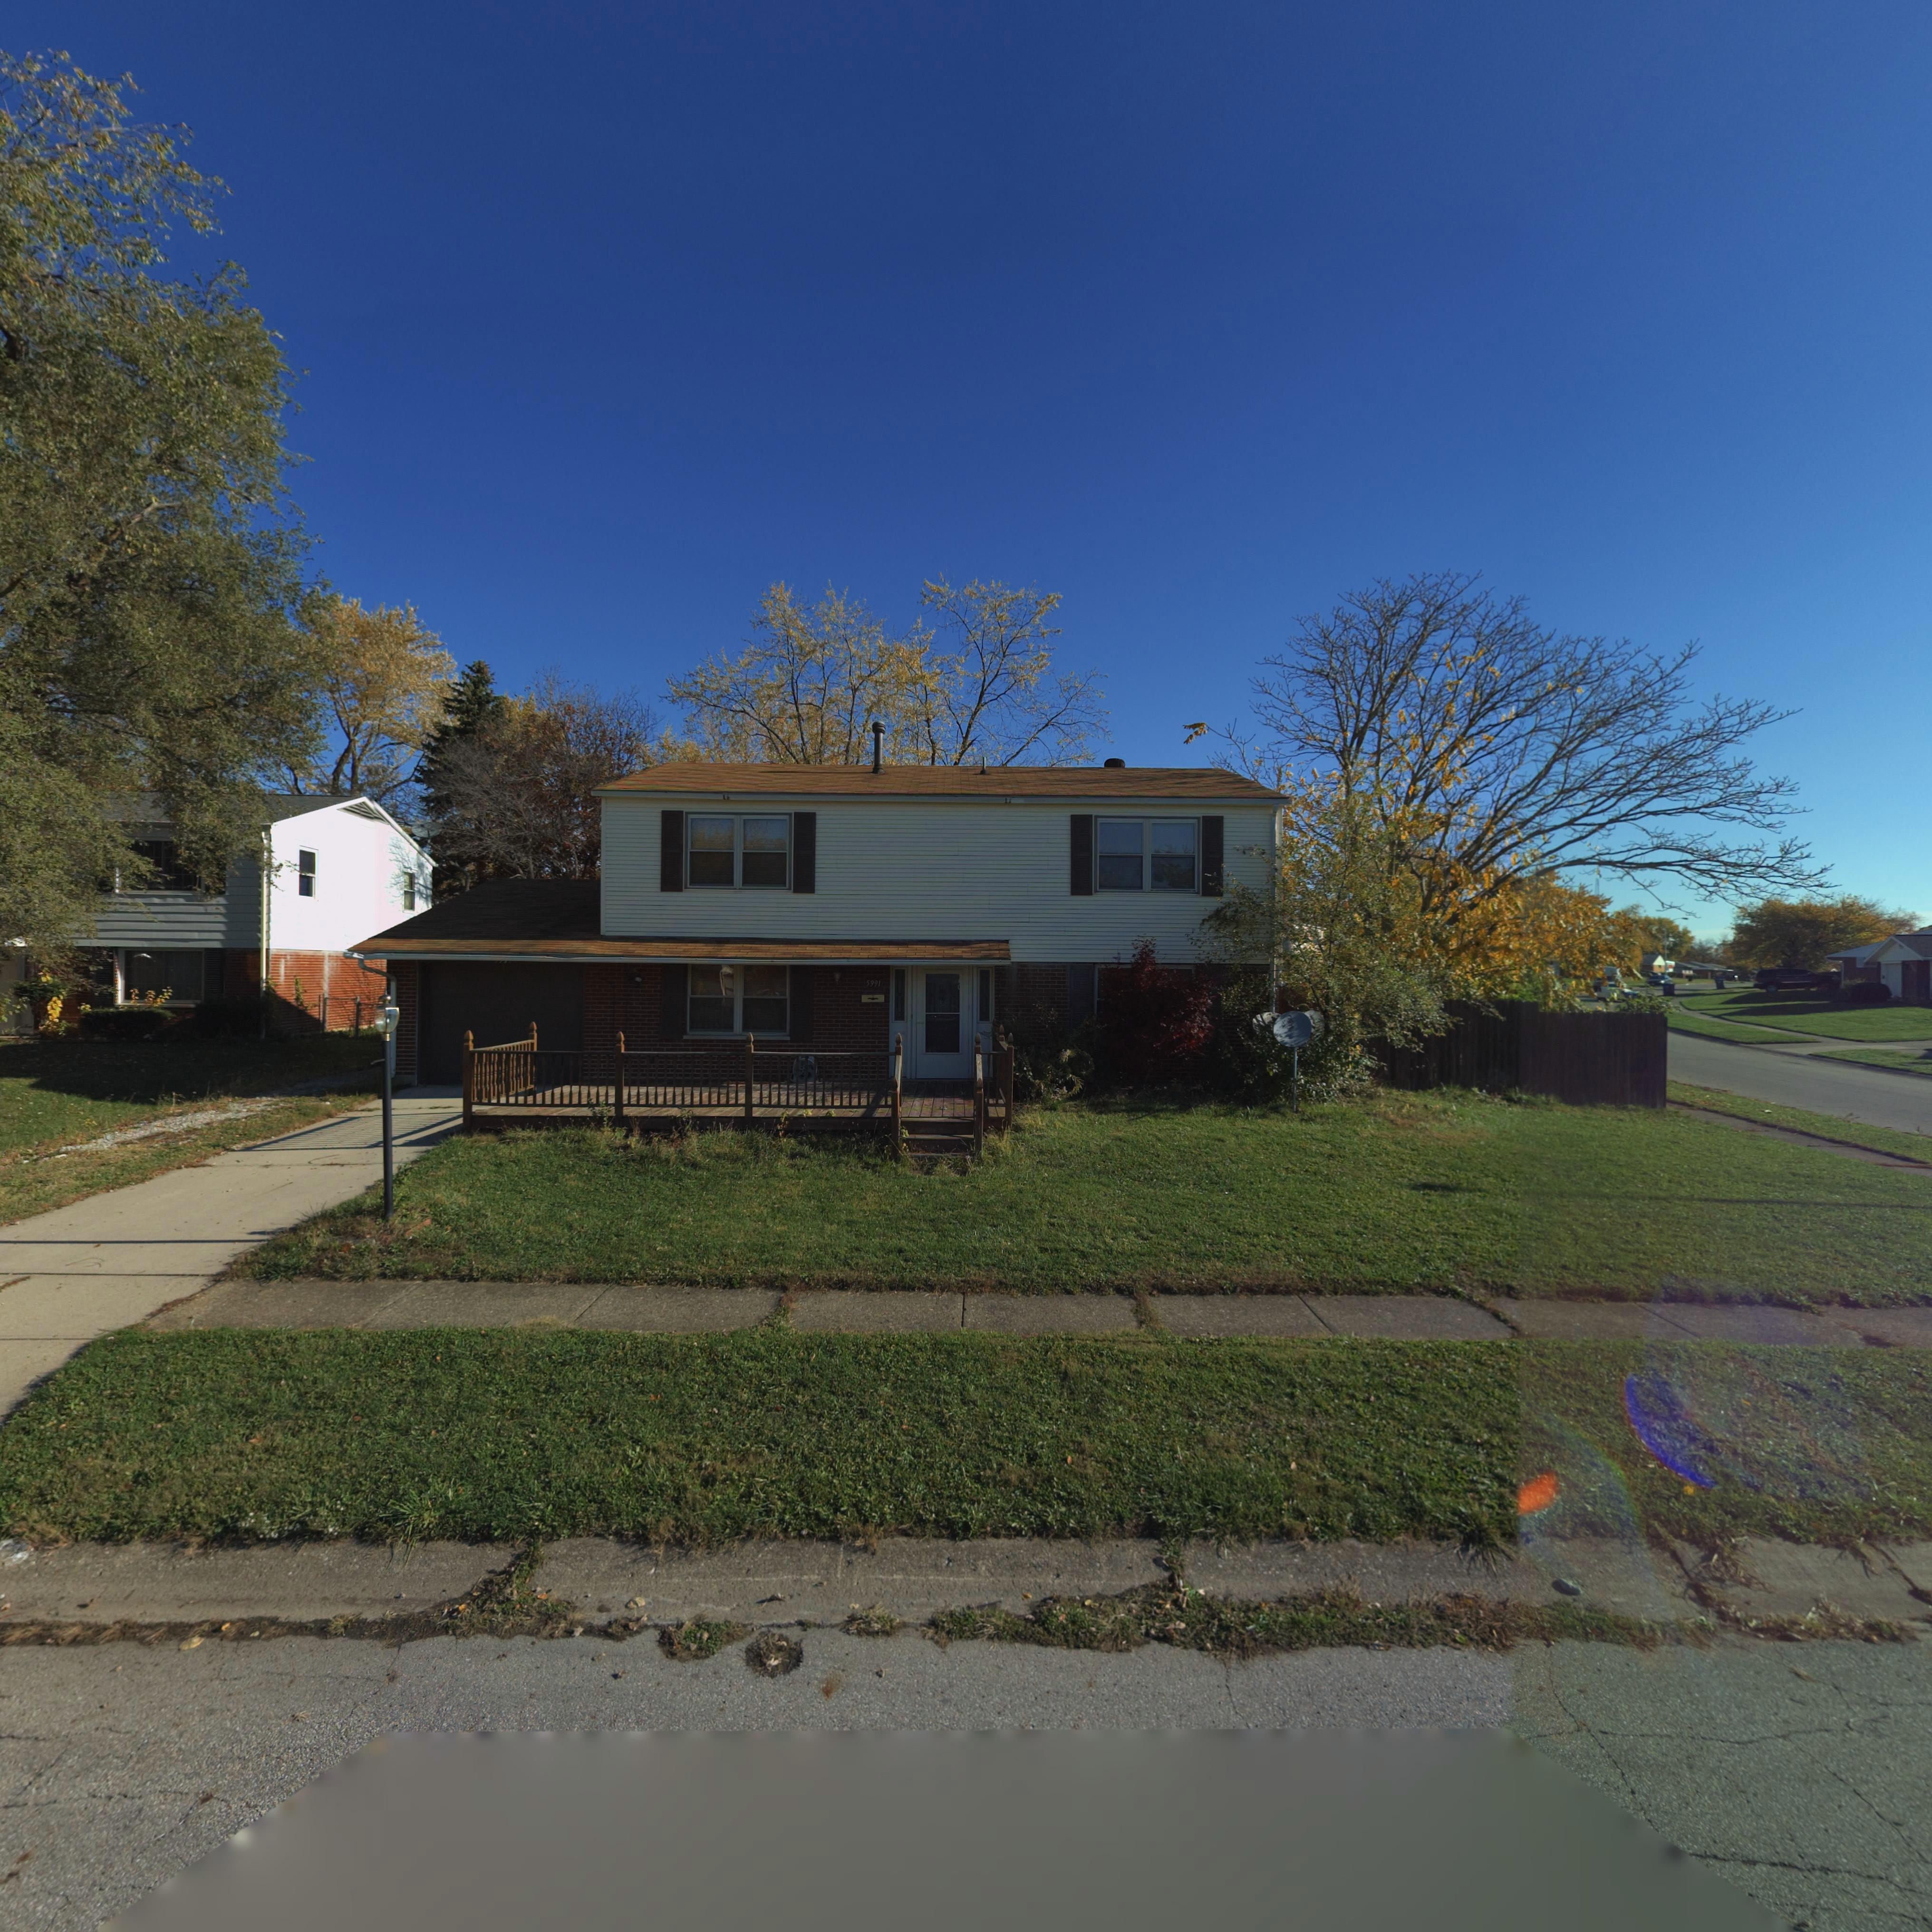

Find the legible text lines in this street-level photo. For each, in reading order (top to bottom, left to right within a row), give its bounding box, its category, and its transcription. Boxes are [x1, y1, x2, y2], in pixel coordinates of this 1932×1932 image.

[865, 979, 882, 988] StreetNumber: 5991